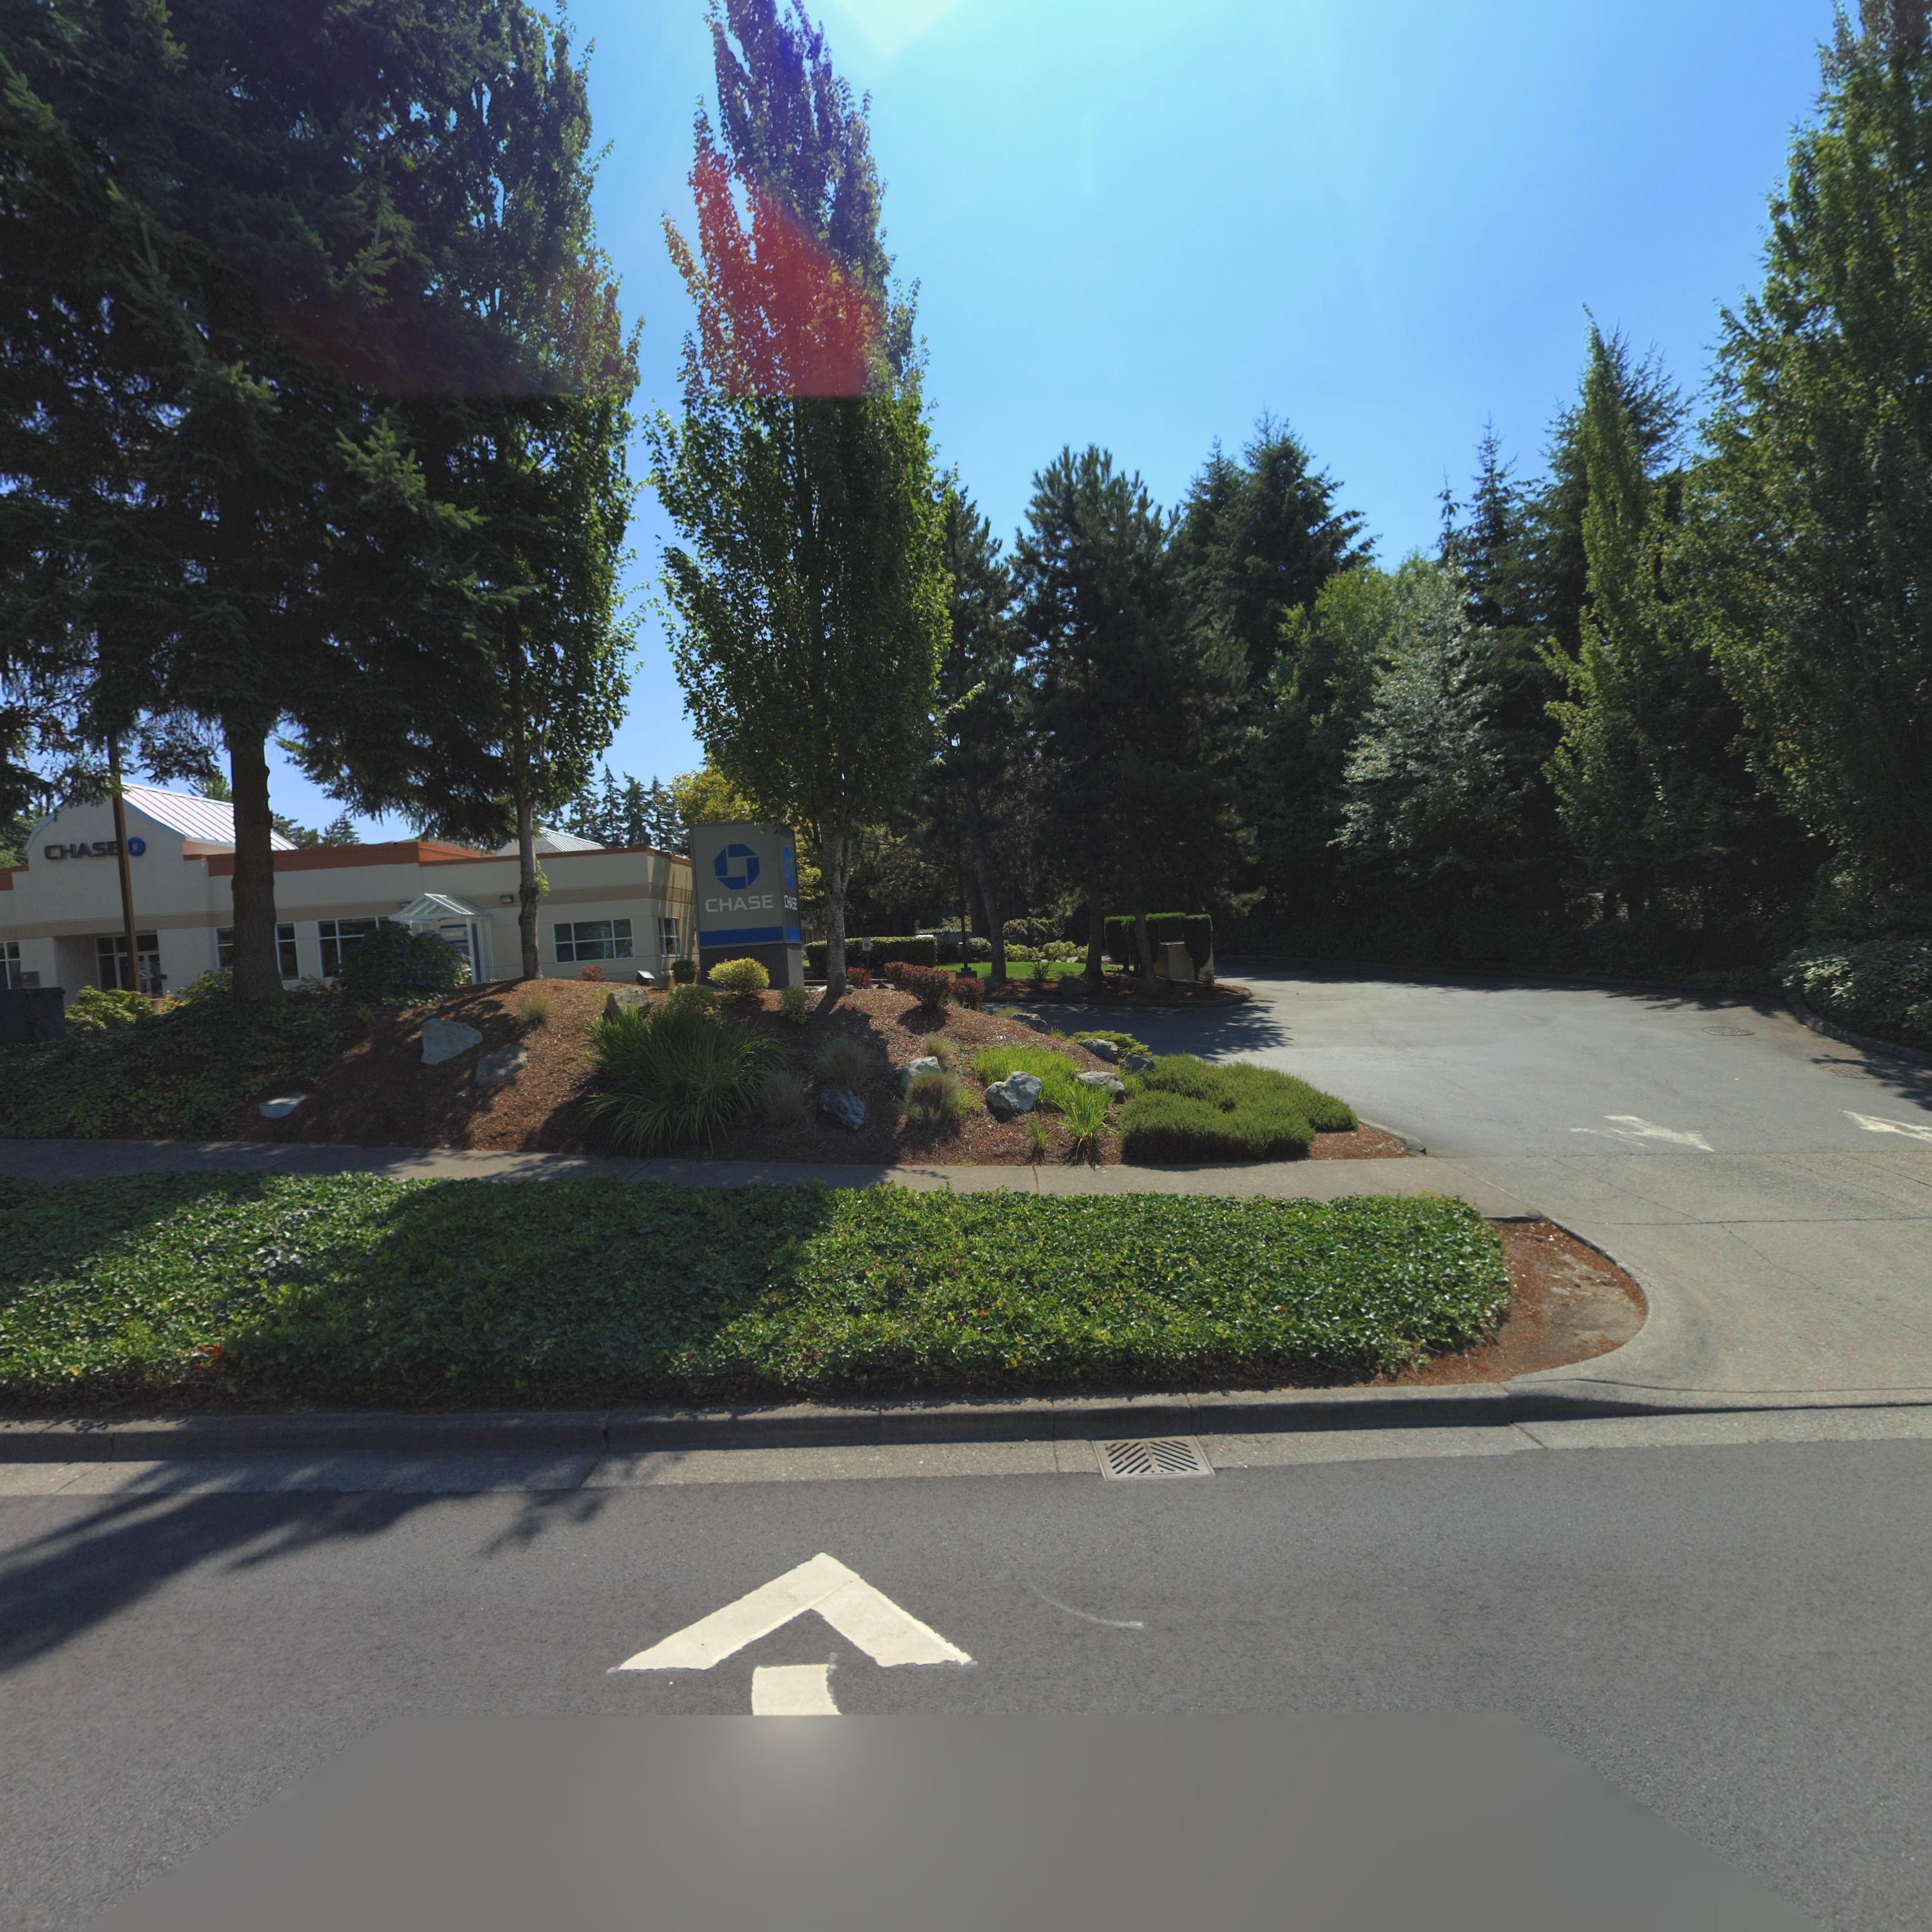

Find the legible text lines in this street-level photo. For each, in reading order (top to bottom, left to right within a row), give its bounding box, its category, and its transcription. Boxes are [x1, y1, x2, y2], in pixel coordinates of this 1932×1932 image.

[43, 838, 119, 861] BusinessName: CHASE
[705, 894, 773, 912] BusinessName: CHASE
[442, 931, 464, 937] BusinessName: CHASE